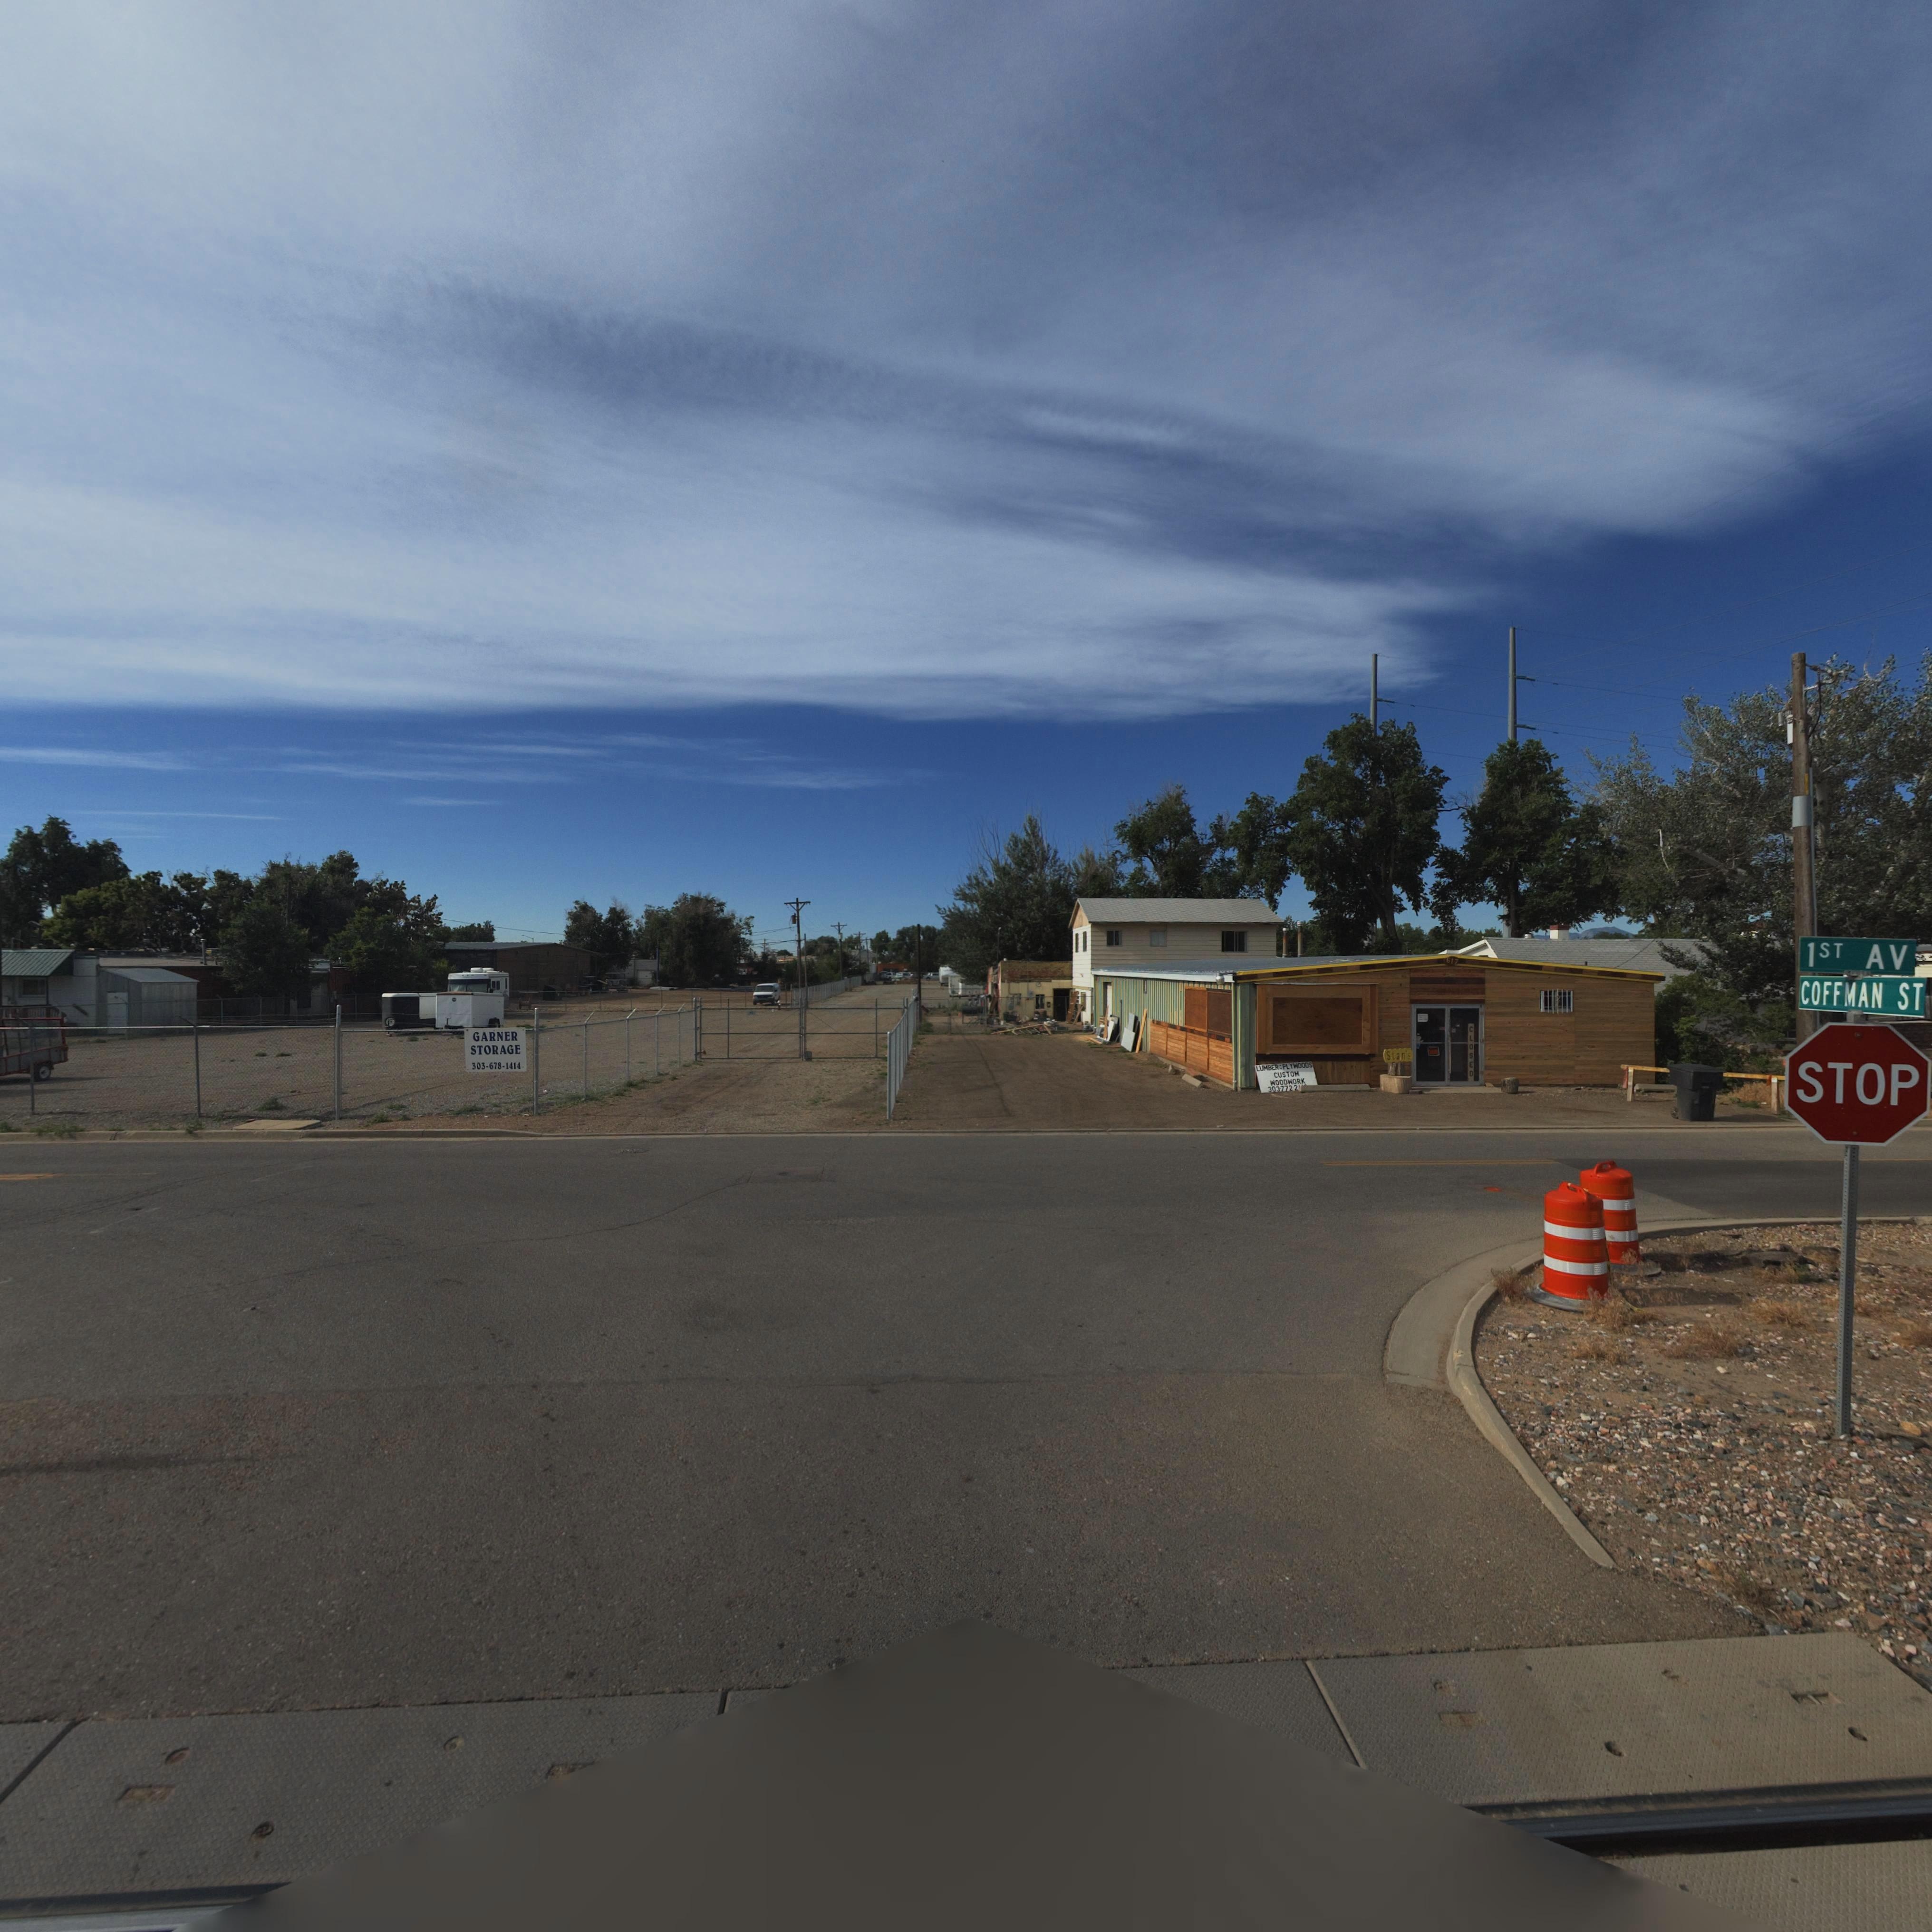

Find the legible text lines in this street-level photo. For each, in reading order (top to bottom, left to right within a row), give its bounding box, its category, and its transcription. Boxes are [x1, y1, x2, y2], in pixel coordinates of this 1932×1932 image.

[1446, 956, 1459, 965] StreetNumber: 617
[1806, 941, 1909, 970] StreetName: 1ST Av
[1801, 981, 1923, 1010] StreetName: COFFMAN ST
[472, 1031, 518, 1043] BusinessName: GARNER
[470, 1044, 521, 1055] BusinessName: STORAGE
[1386, 1050, 1413, 1061] BusinessName: Stan's